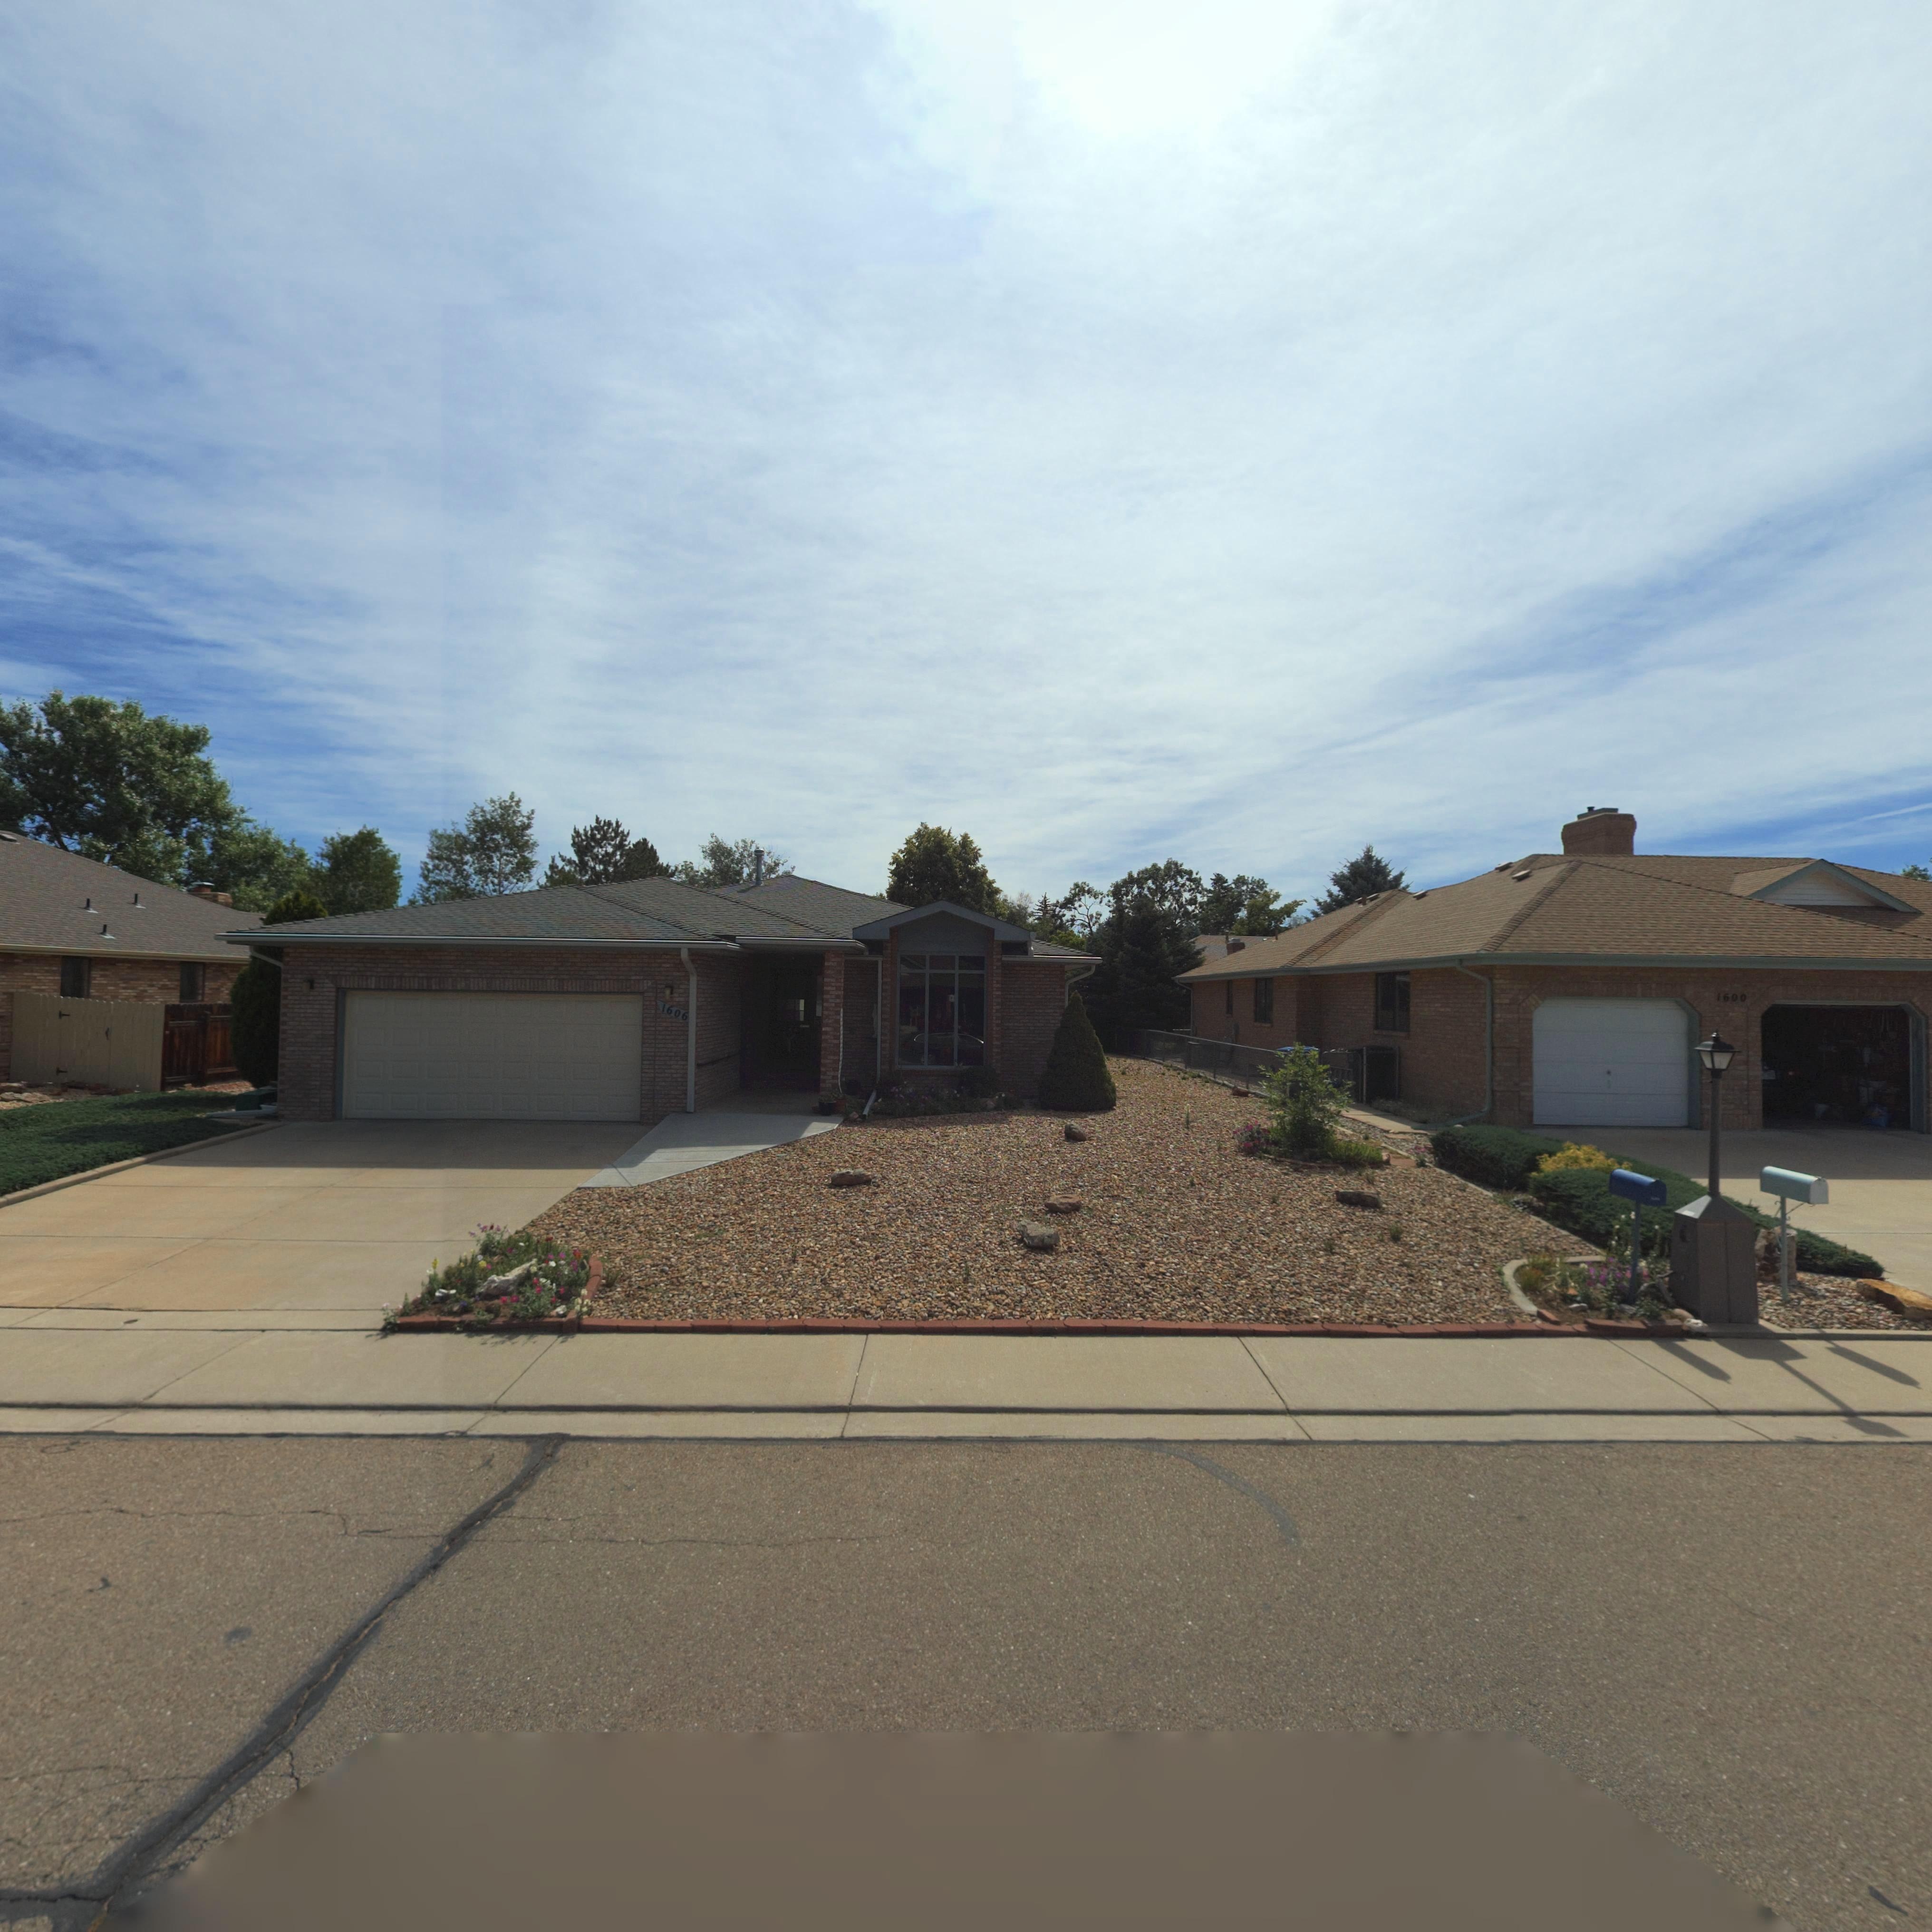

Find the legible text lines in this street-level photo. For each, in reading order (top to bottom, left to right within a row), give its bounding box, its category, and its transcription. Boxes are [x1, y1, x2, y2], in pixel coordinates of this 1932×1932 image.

[1716, 991, 1747, 1003] StreetNumber: 1600
[661, 1001, 690, 1021] StreetNumber: 1606